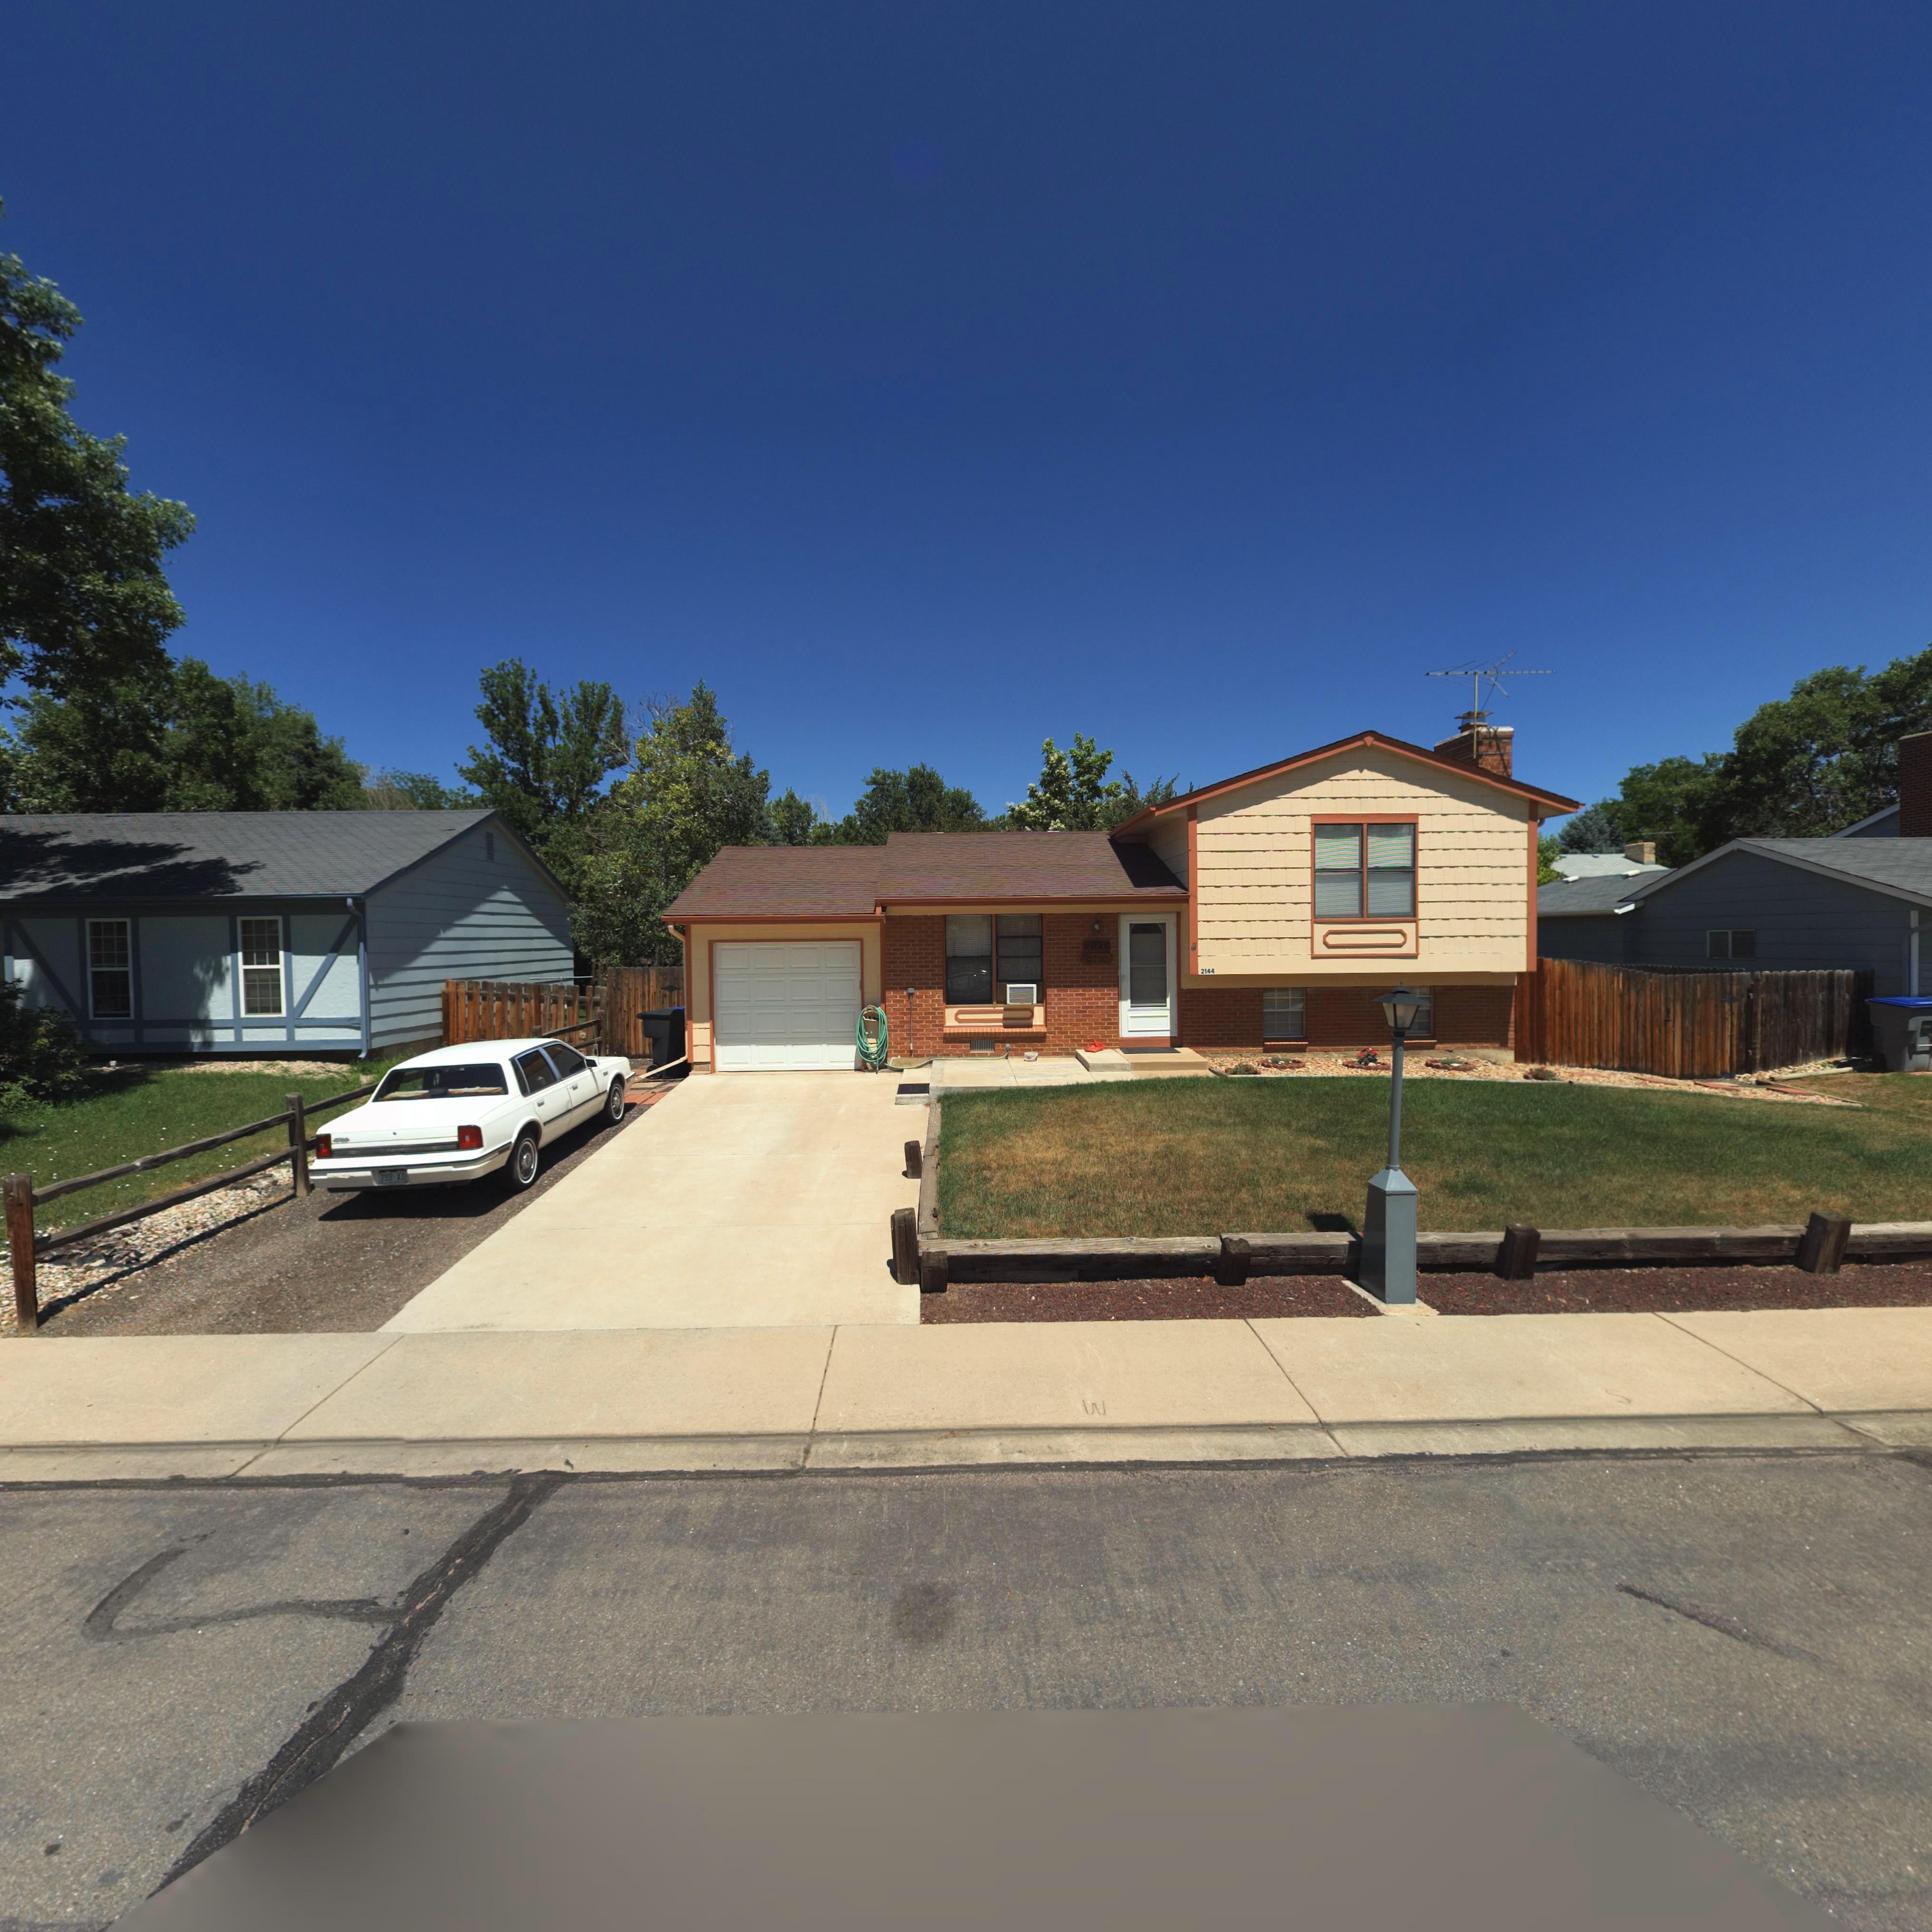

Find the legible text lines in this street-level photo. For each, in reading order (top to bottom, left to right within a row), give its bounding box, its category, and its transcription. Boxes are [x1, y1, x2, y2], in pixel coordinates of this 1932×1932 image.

[1087, 942, 1106, 949] StreetNumber: 21**
[1200, 967, 1215, 974] StreetNumber: 2144